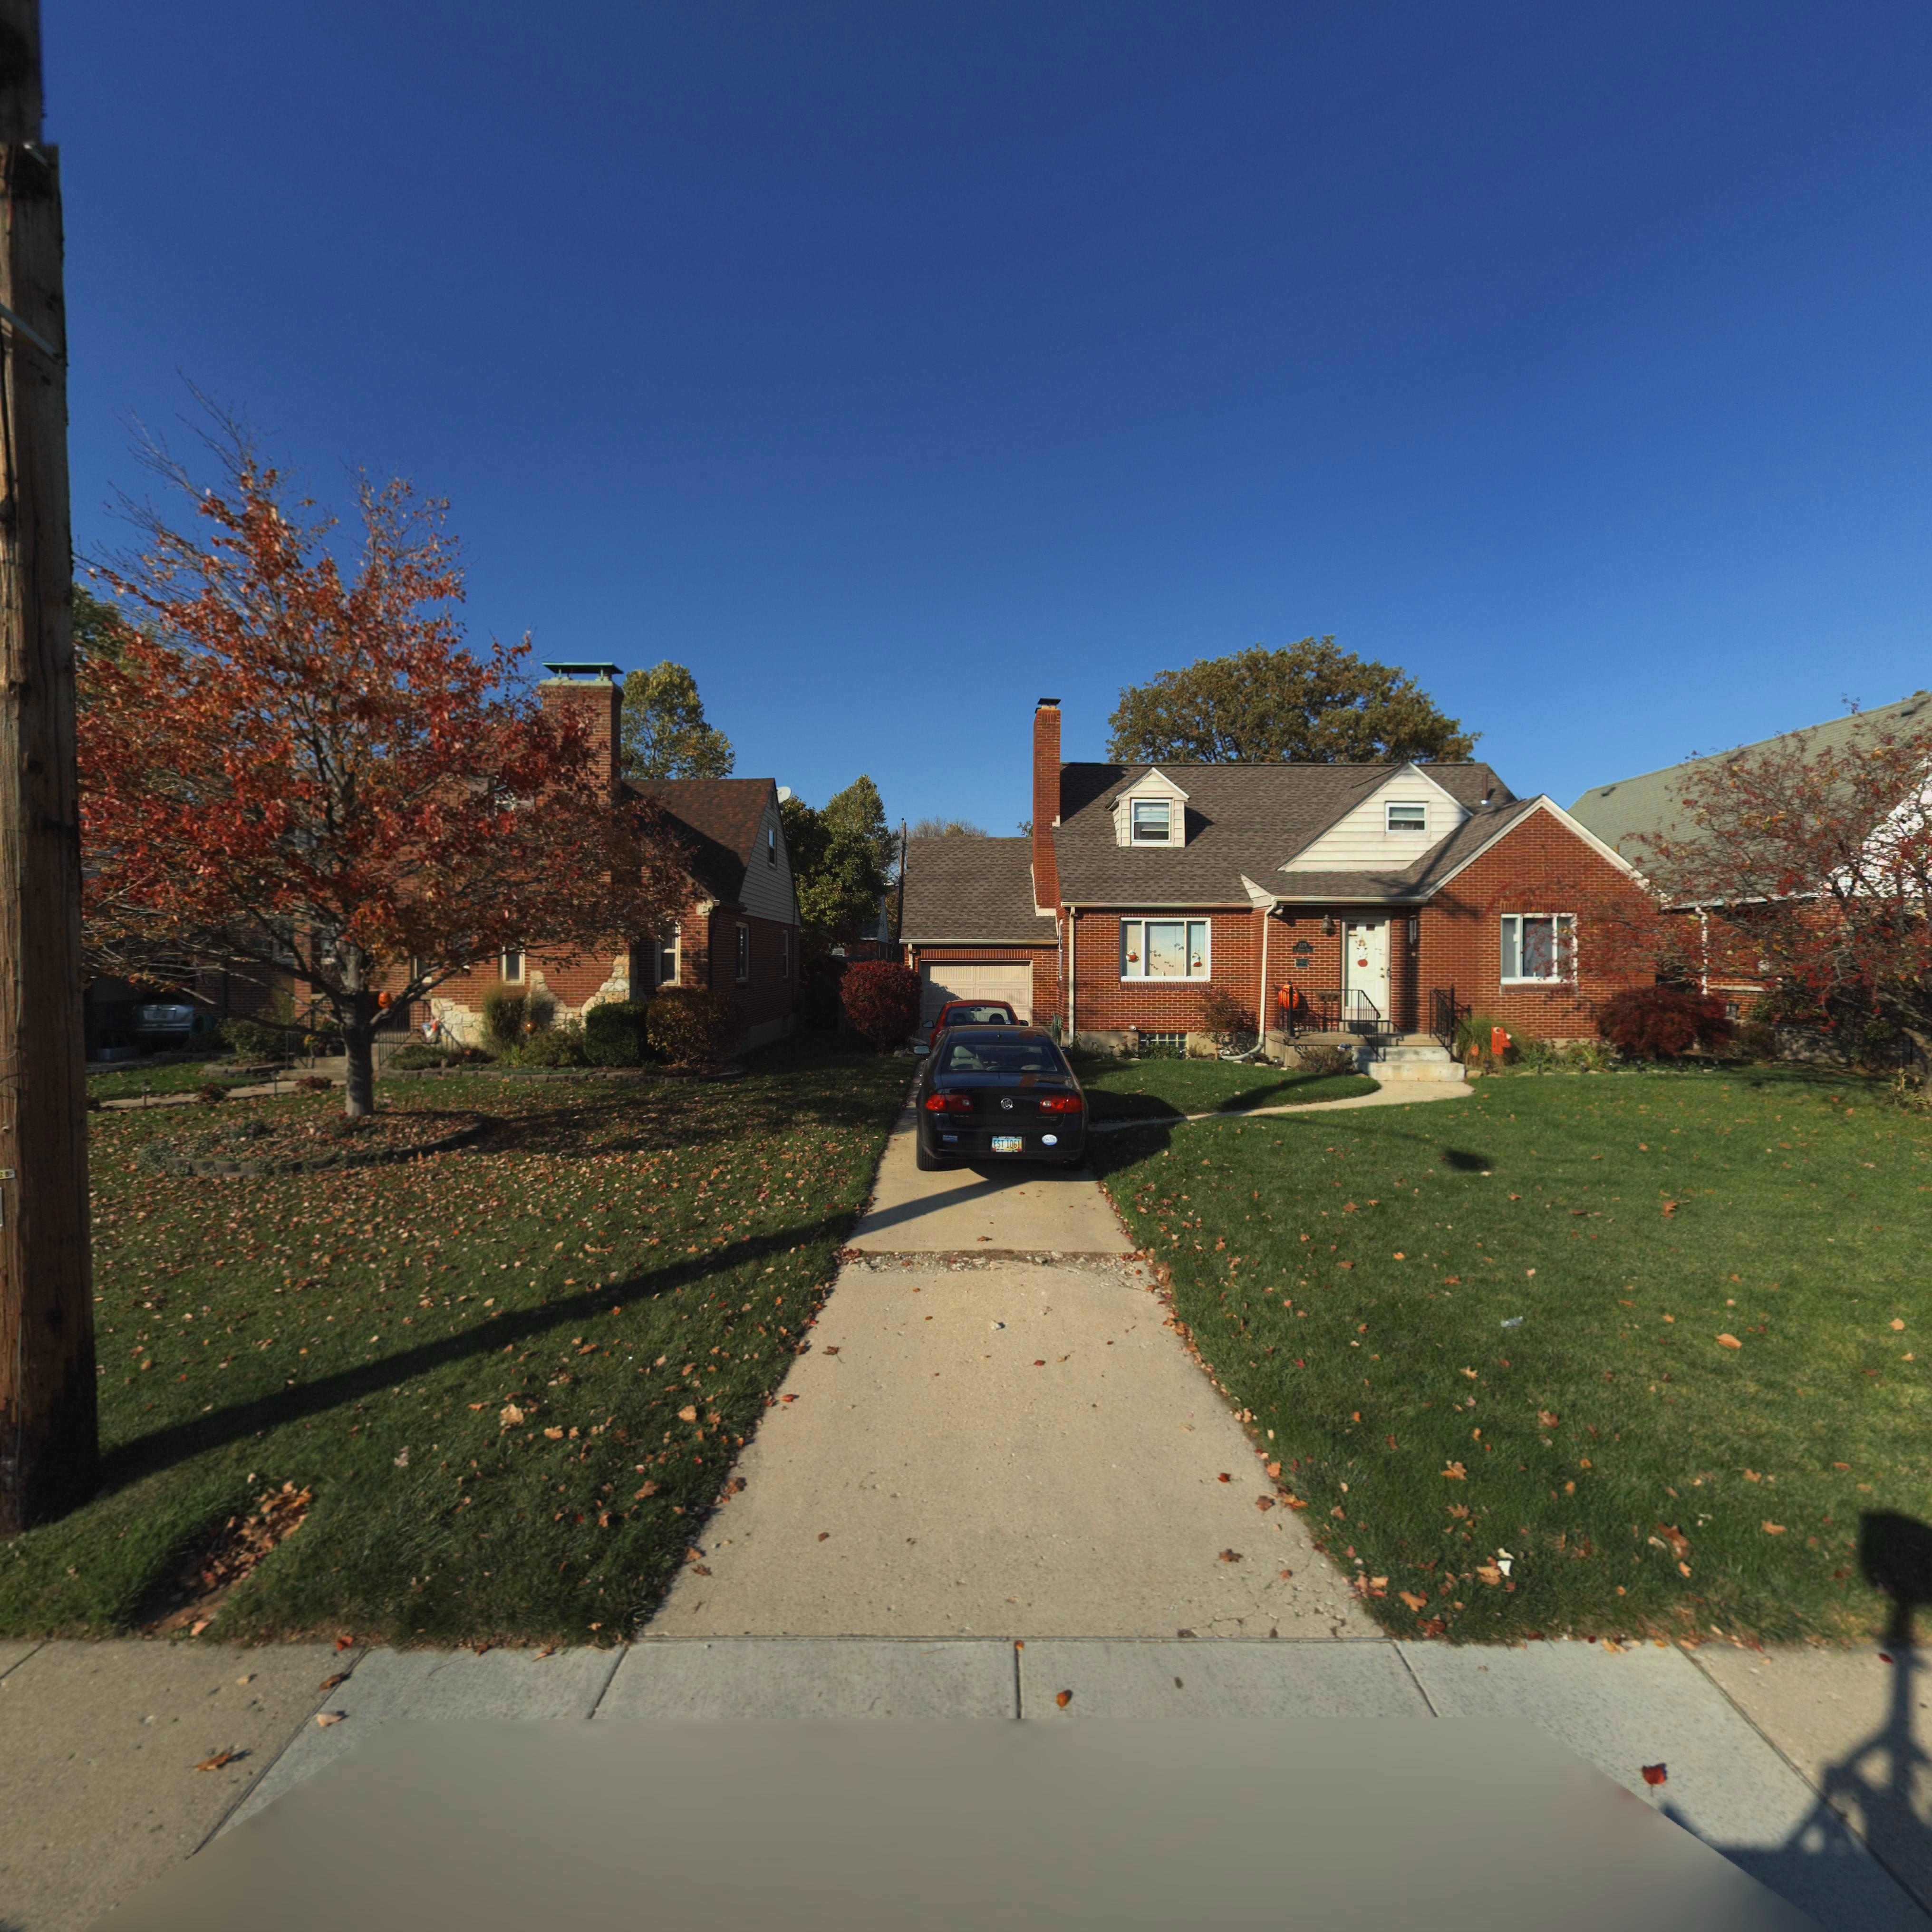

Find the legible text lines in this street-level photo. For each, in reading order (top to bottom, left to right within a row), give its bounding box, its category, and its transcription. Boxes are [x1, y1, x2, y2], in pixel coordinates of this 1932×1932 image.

[1297, 942, 1308, 949] StreetNumber: 229
[993, 1139, 1021, 1150] None: EST 1061